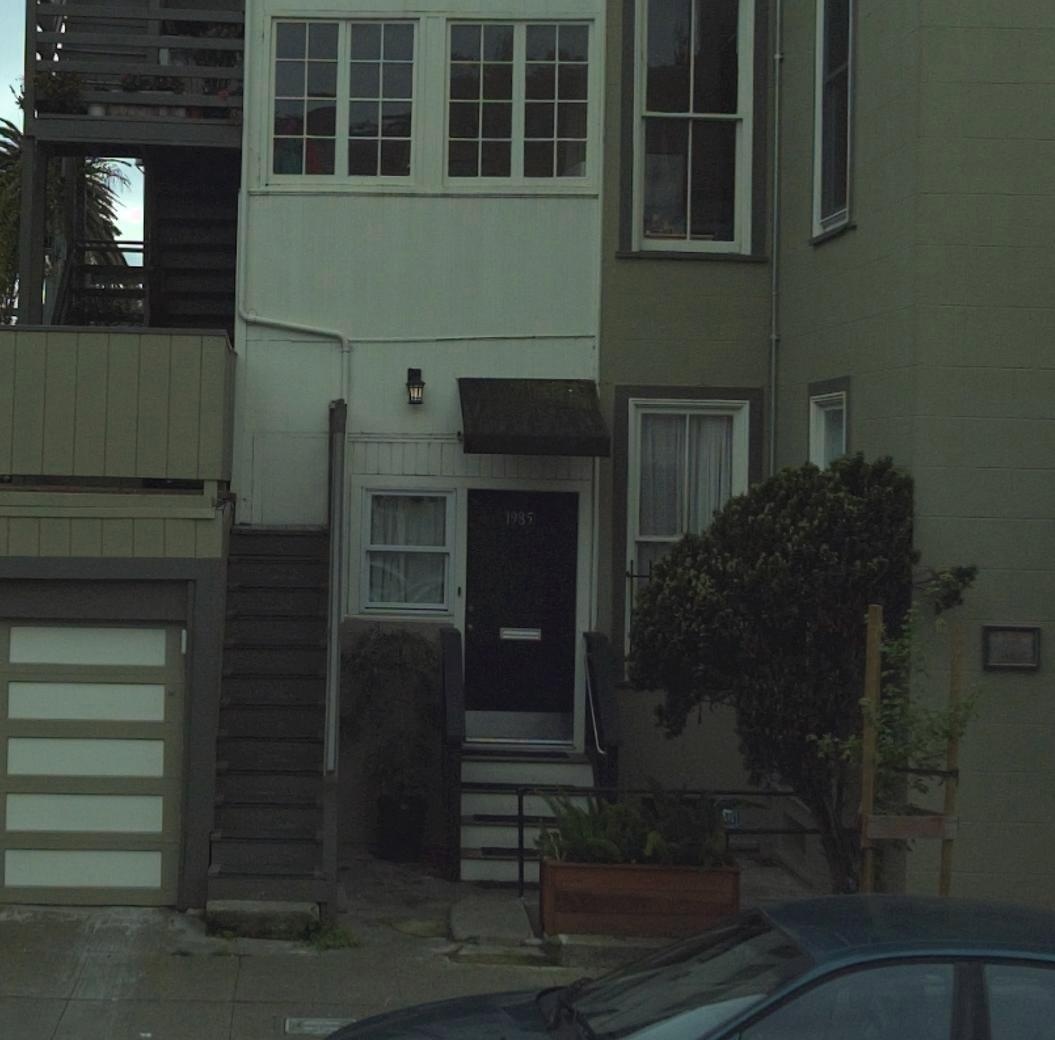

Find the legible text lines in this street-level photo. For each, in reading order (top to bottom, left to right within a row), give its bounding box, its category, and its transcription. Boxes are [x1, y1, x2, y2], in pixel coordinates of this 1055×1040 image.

[504, 509, 534, 528] StreetNumber: 1985